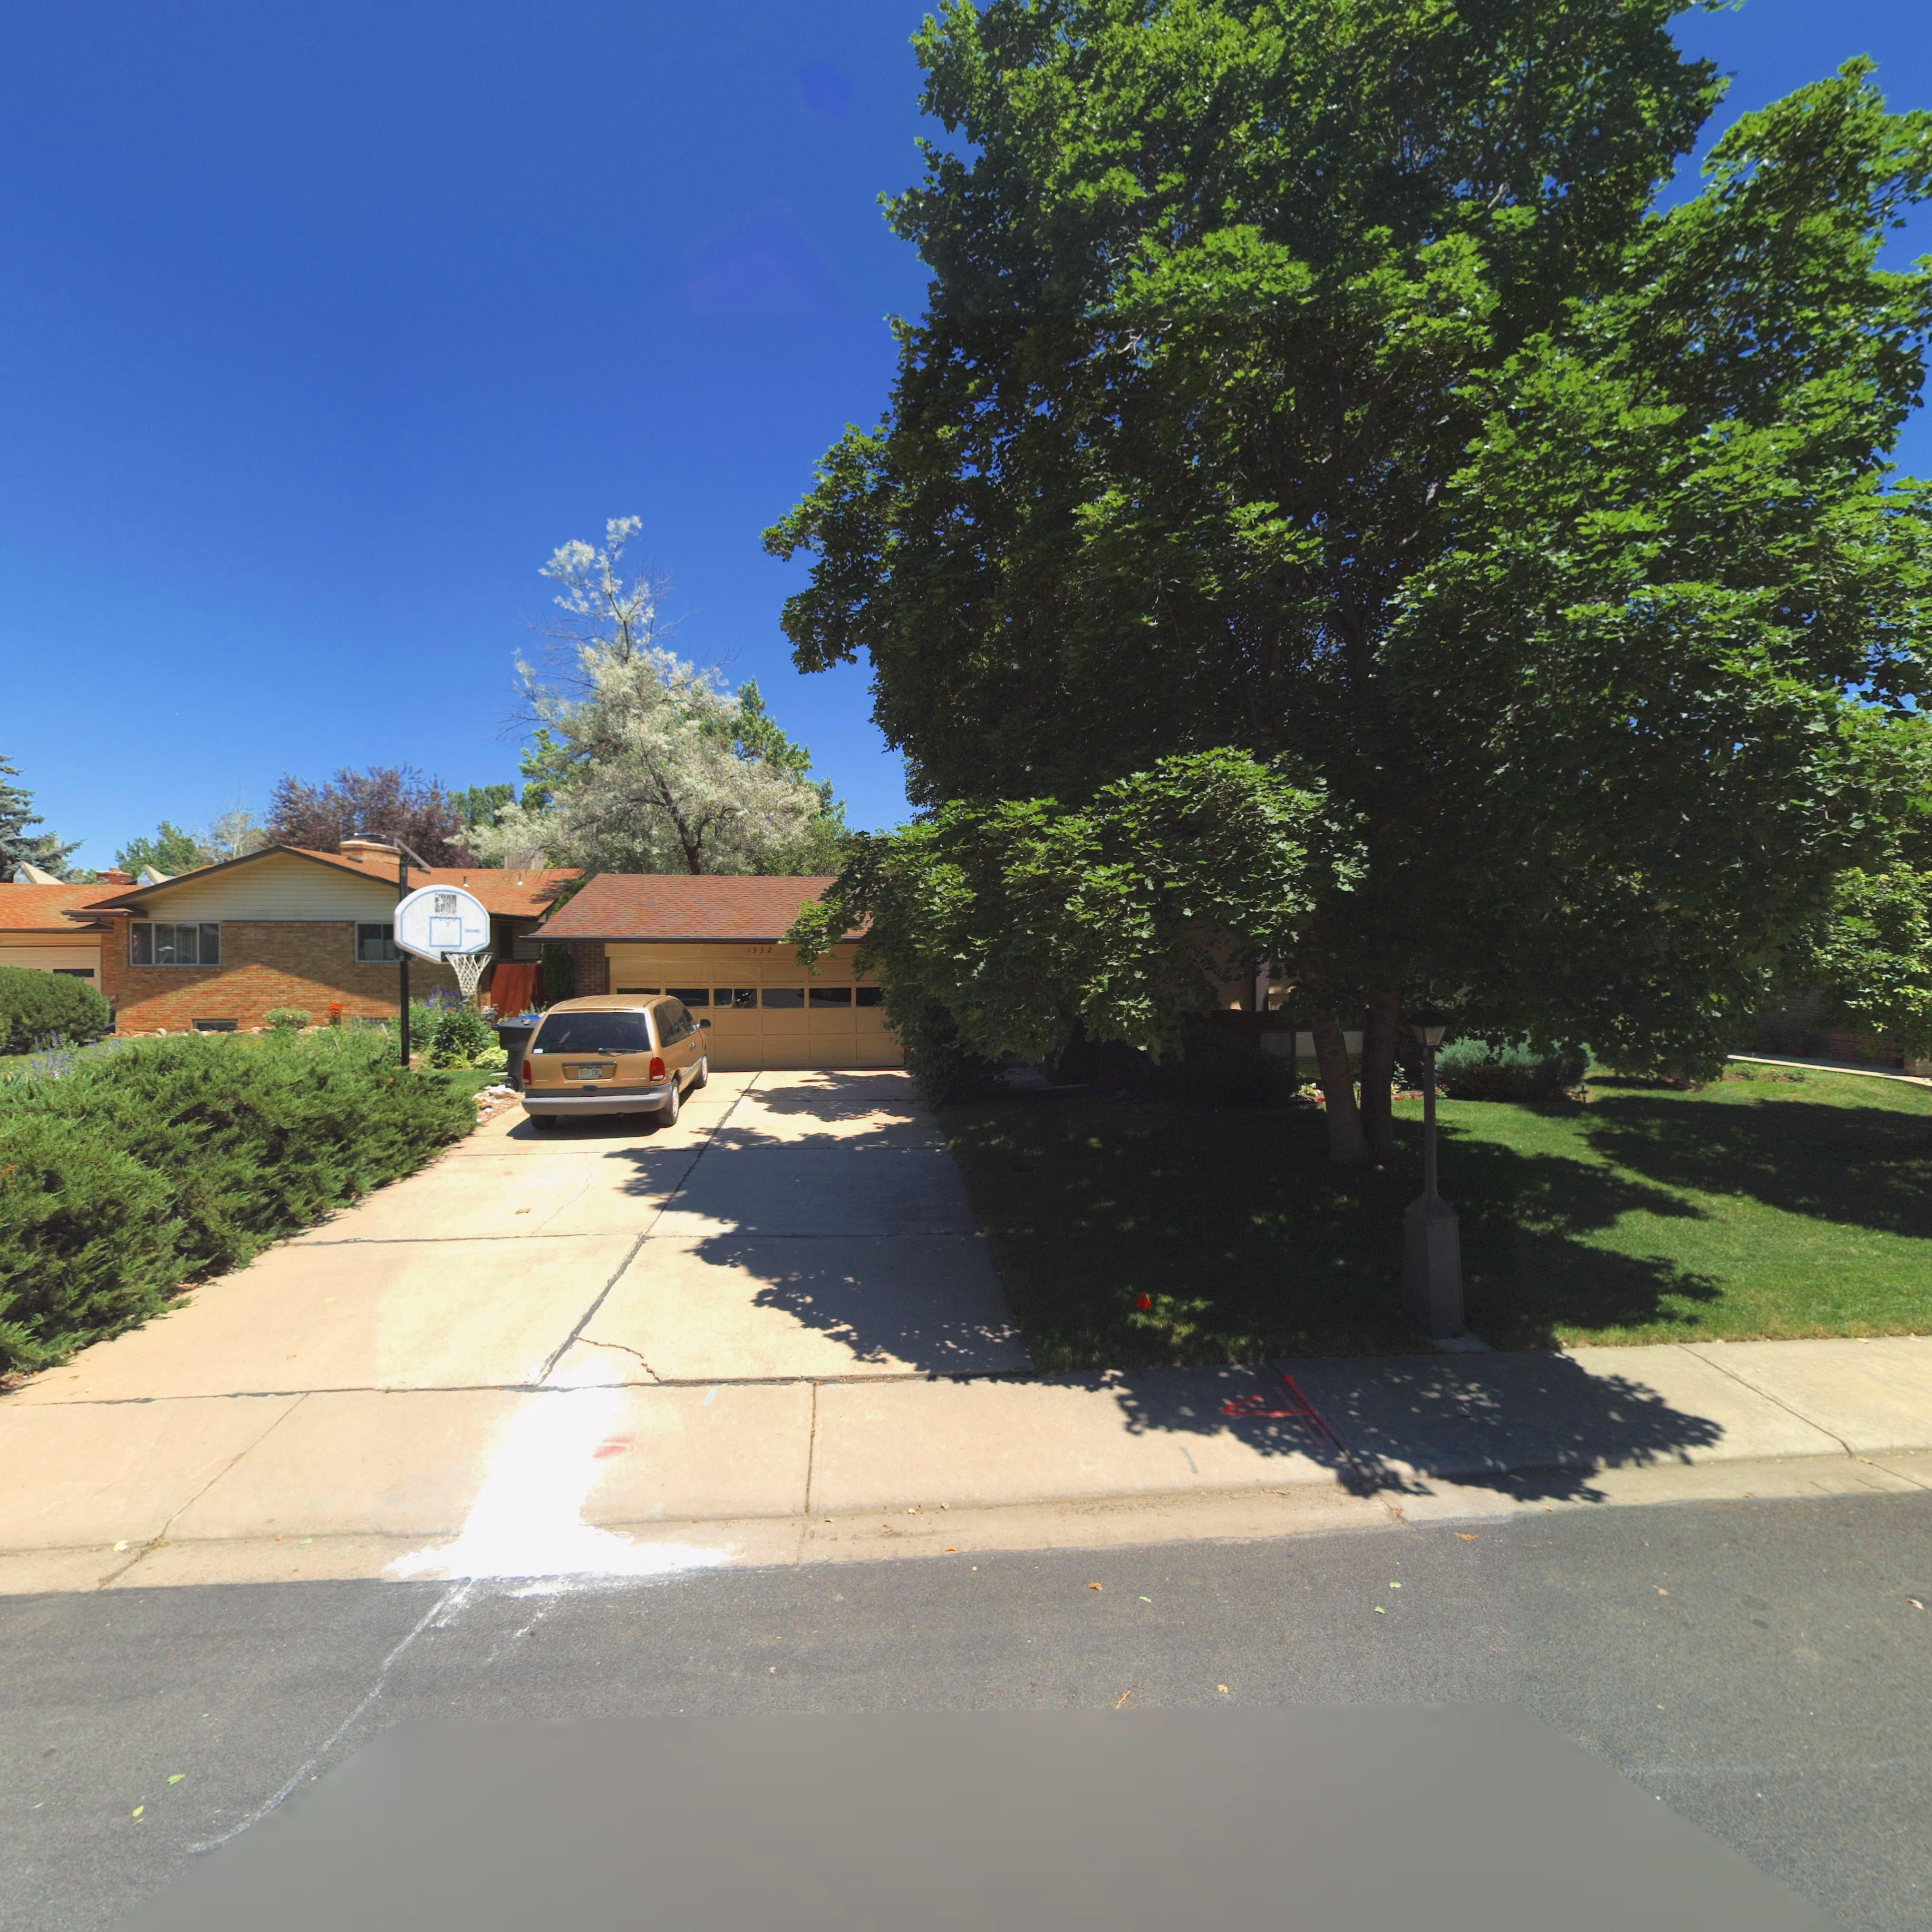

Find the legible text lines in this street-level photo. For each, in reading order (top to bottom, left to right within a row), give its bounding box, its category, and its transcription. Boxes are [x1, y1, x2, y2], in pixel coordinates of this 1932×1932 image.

[748, 947, 772, 953] StreetNumber: 1332